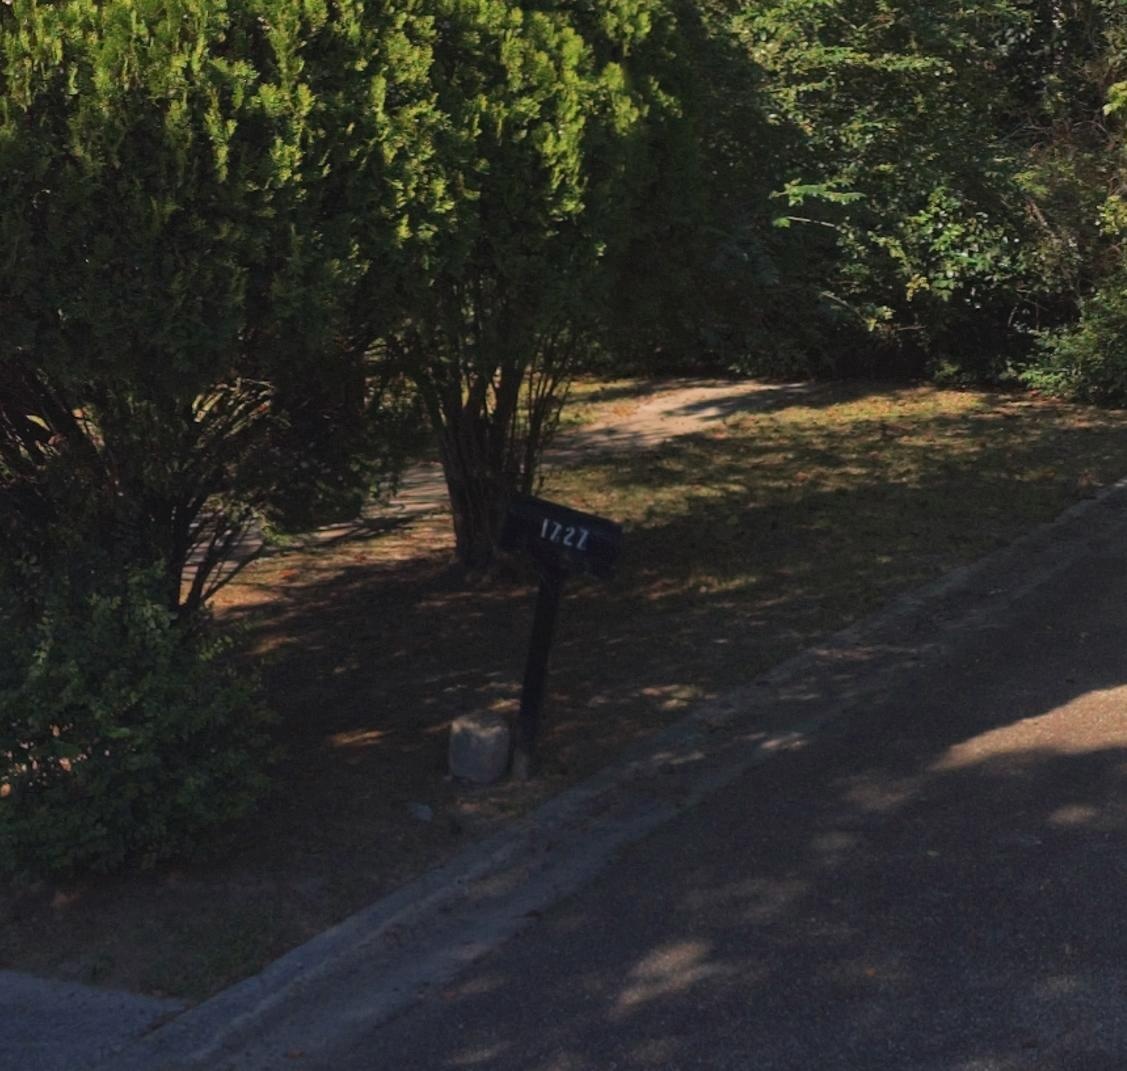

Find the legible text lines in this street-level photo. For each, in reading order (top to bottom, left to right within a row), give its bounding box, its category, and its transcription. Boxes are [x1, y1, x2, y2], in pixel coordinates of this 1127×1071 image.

[539, 516, 592, 553] StreetNumber: 1727